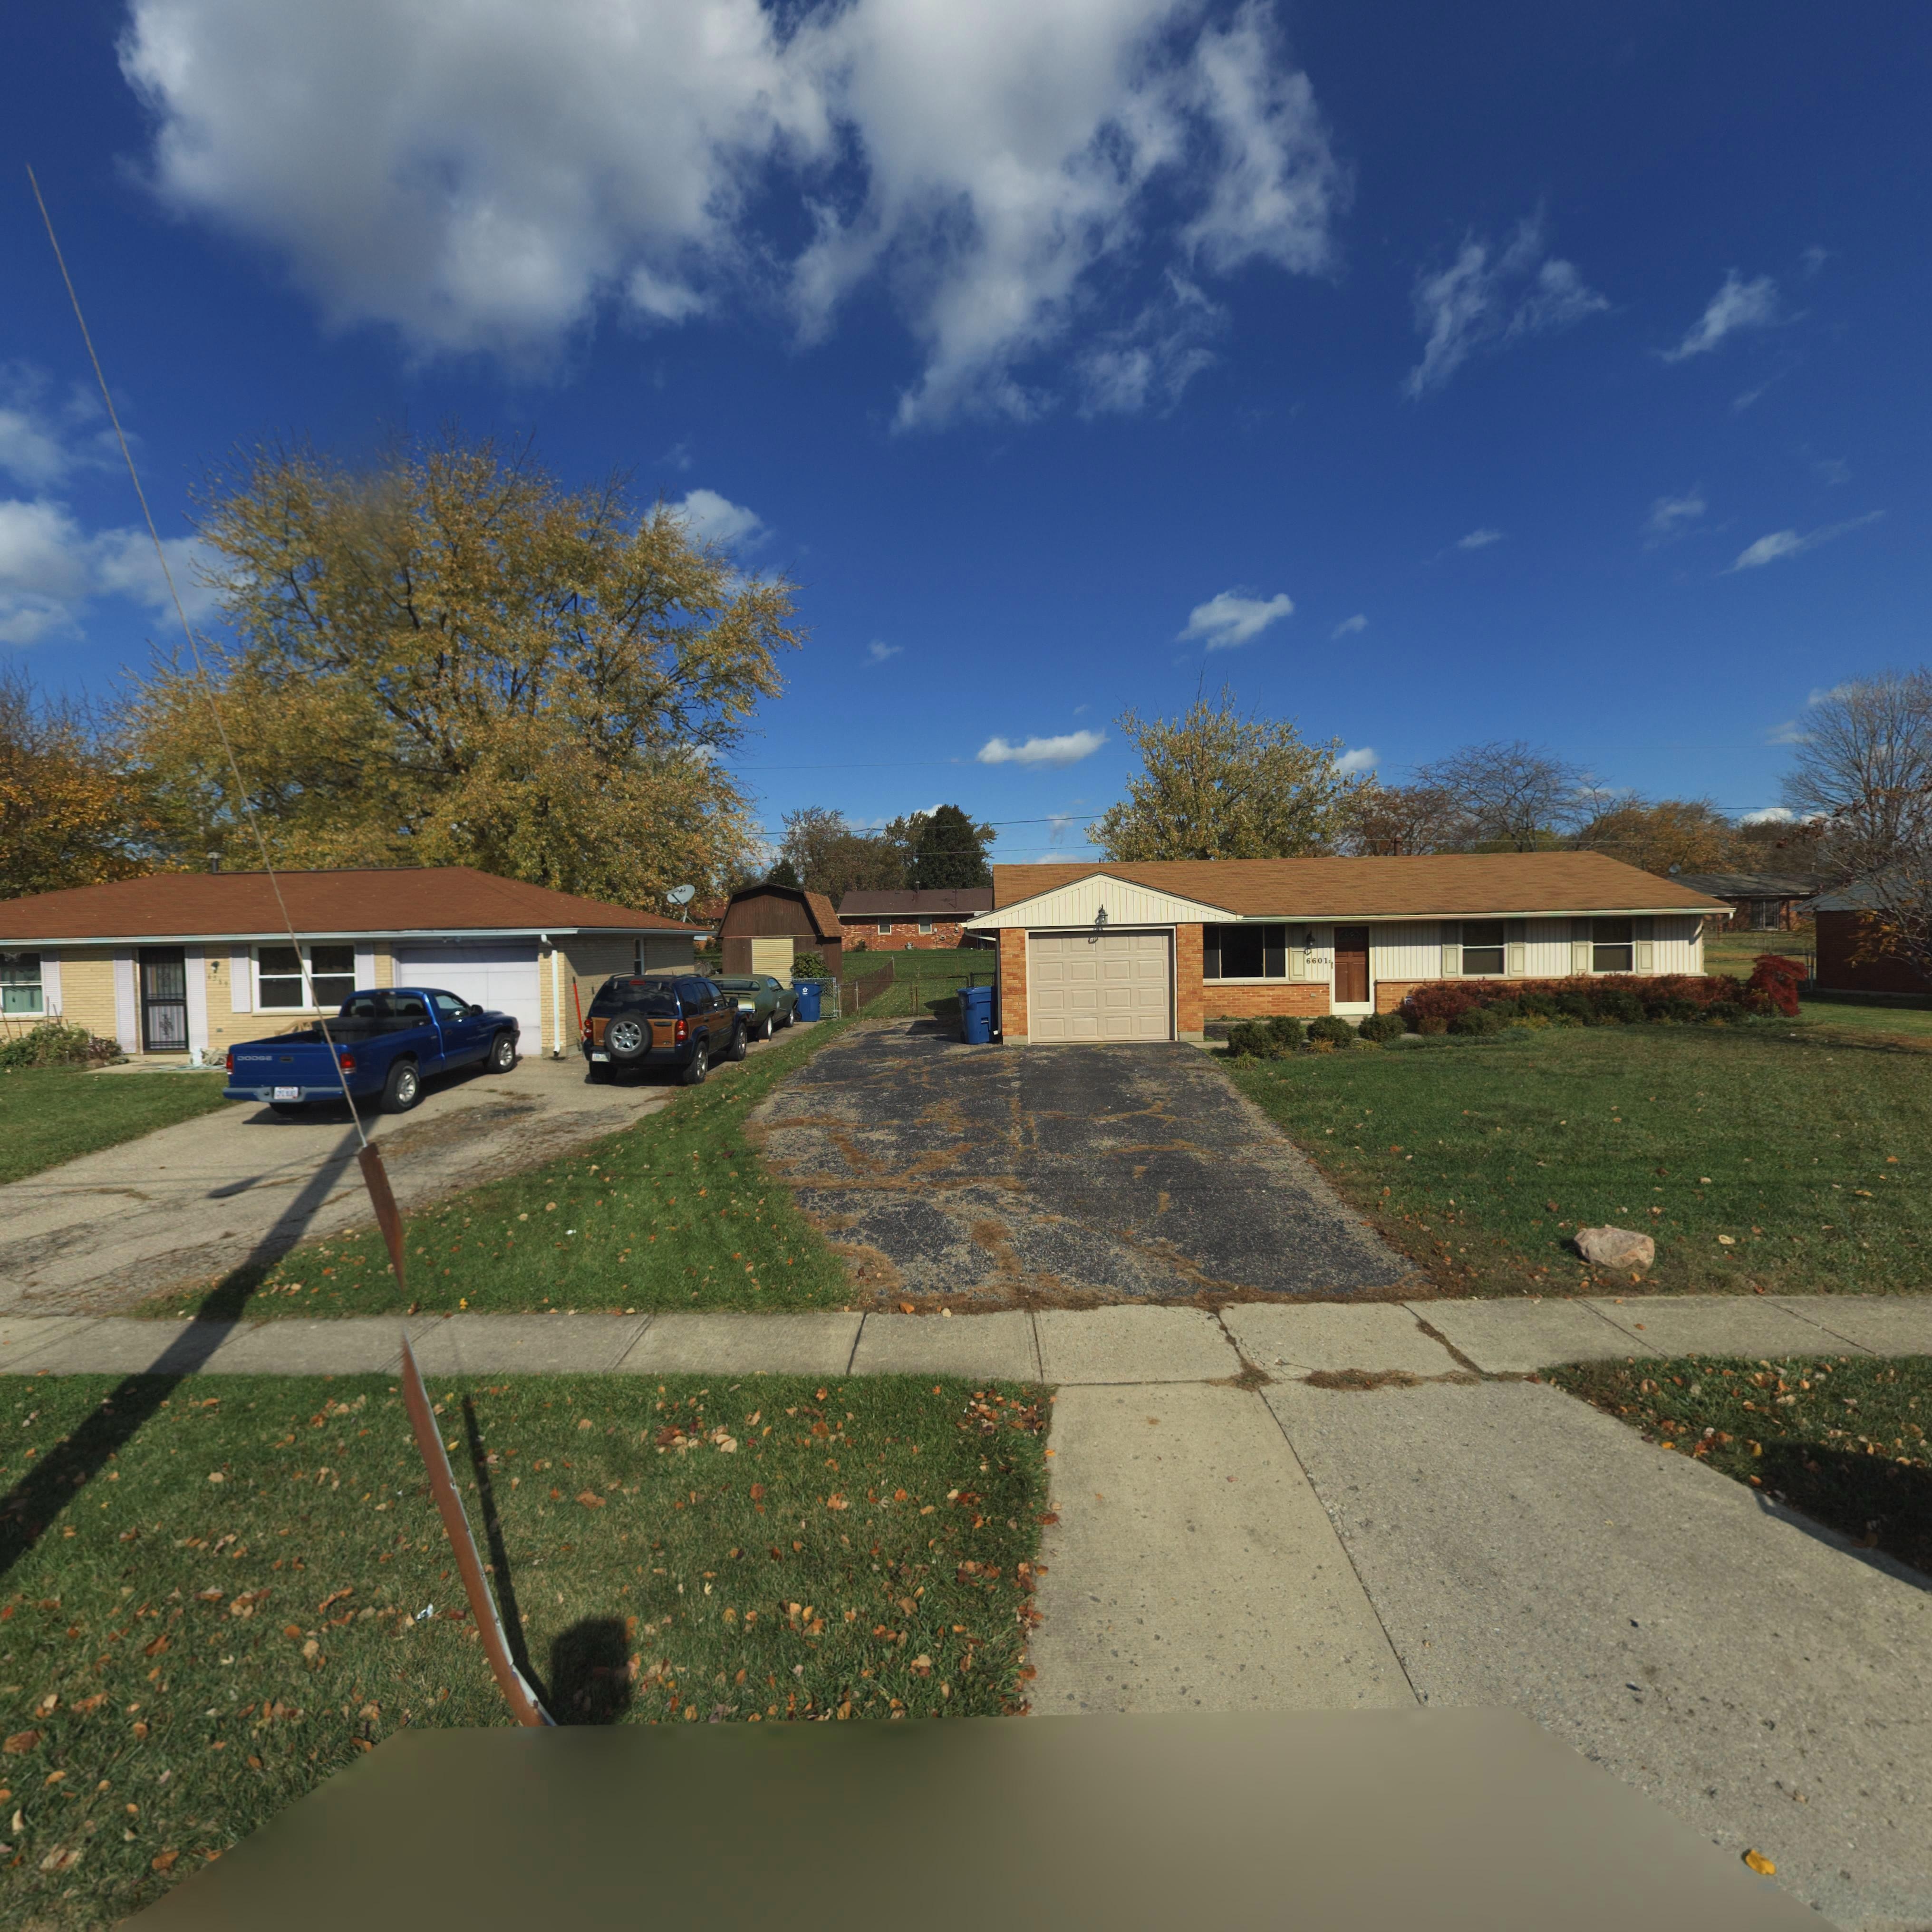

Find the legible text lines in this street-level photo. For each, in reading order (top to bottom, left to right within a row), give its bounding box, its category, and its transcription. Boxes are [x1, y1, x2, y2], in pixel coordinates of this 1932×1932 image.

[1306, 957, 1328, 964] StreetNumber: 6601
[206, 973, 229, 988] StreetNumber: 6569